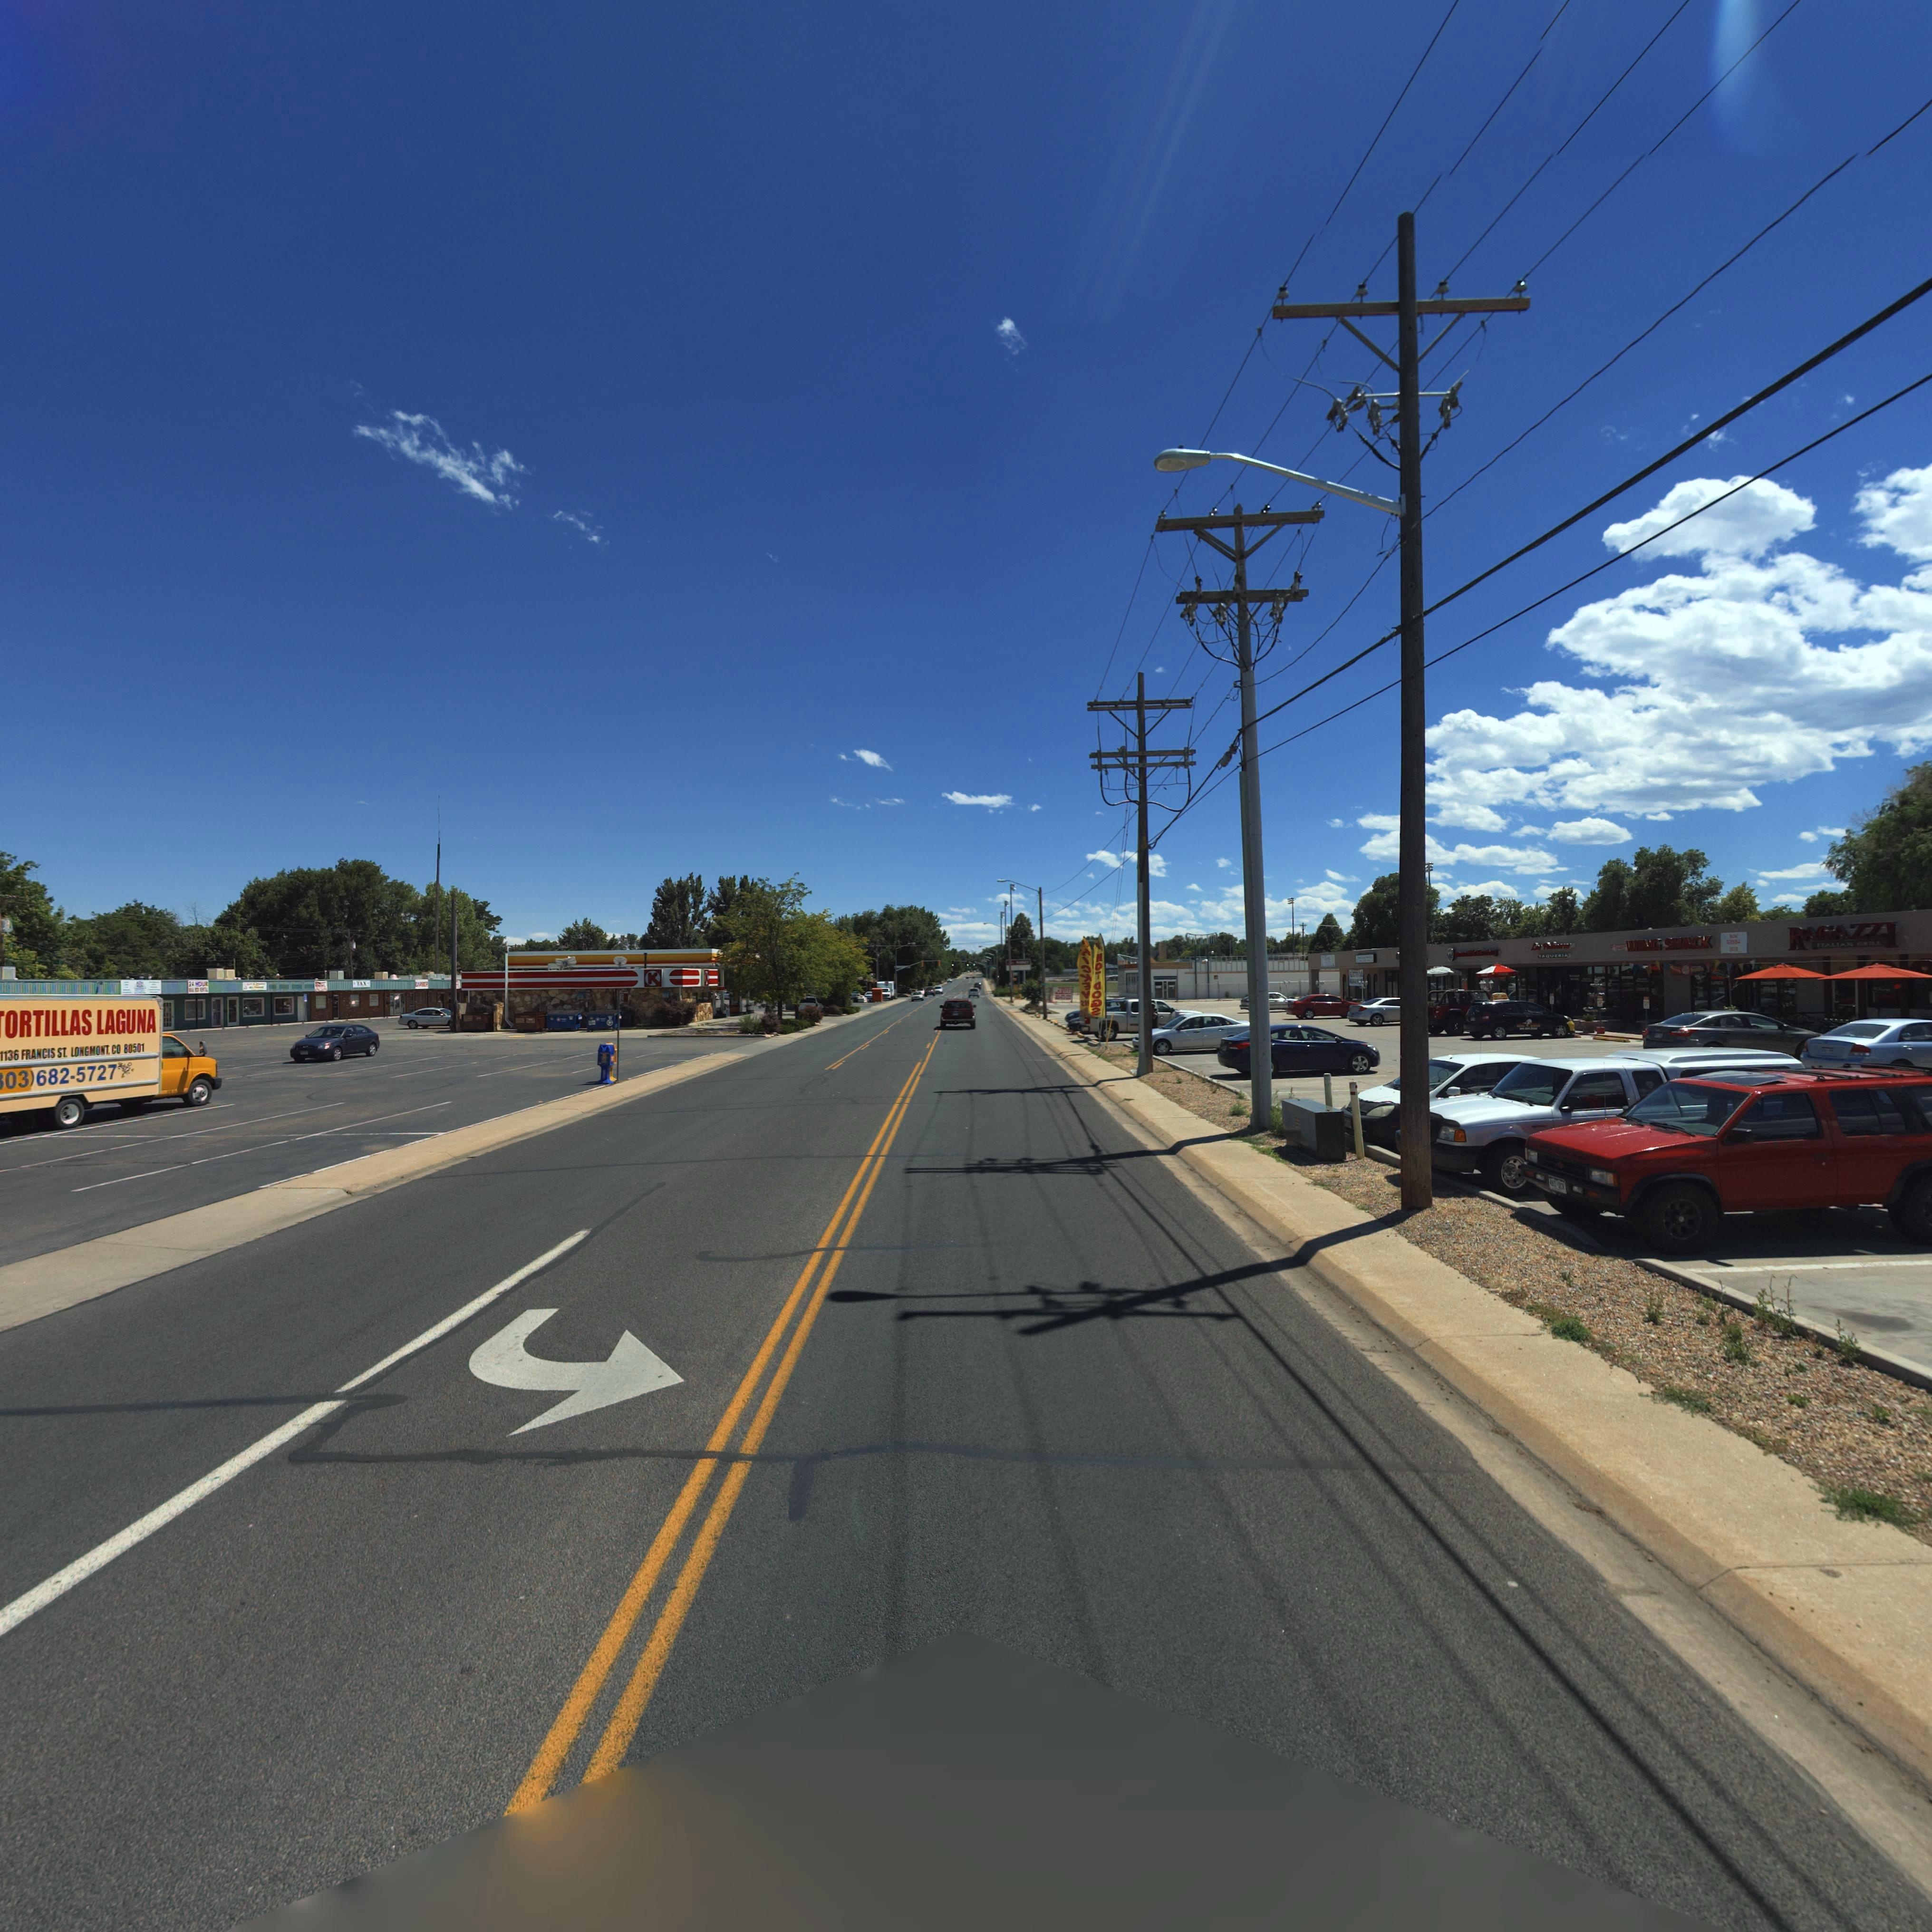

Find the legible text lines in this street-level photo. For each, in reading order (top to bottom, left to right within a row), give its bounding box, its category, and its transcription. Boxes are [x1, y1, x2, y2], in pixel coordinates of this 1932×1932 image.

[1787, 921, 1899, 951] BusinessName: RAGAZZI
[1530, 941, 1571, 951] BusinessName: La* Pal**ra*
[1625, 935, 1711, 952] BusinessName: WING SHACK
[1816, 940, 1883, 947] BusinessName: ITALIAN GRILL
[1538, 953, 1568, 958] BusinessName: TAQUERIA
[356, 981, 367, 986] BusinessName: TAX